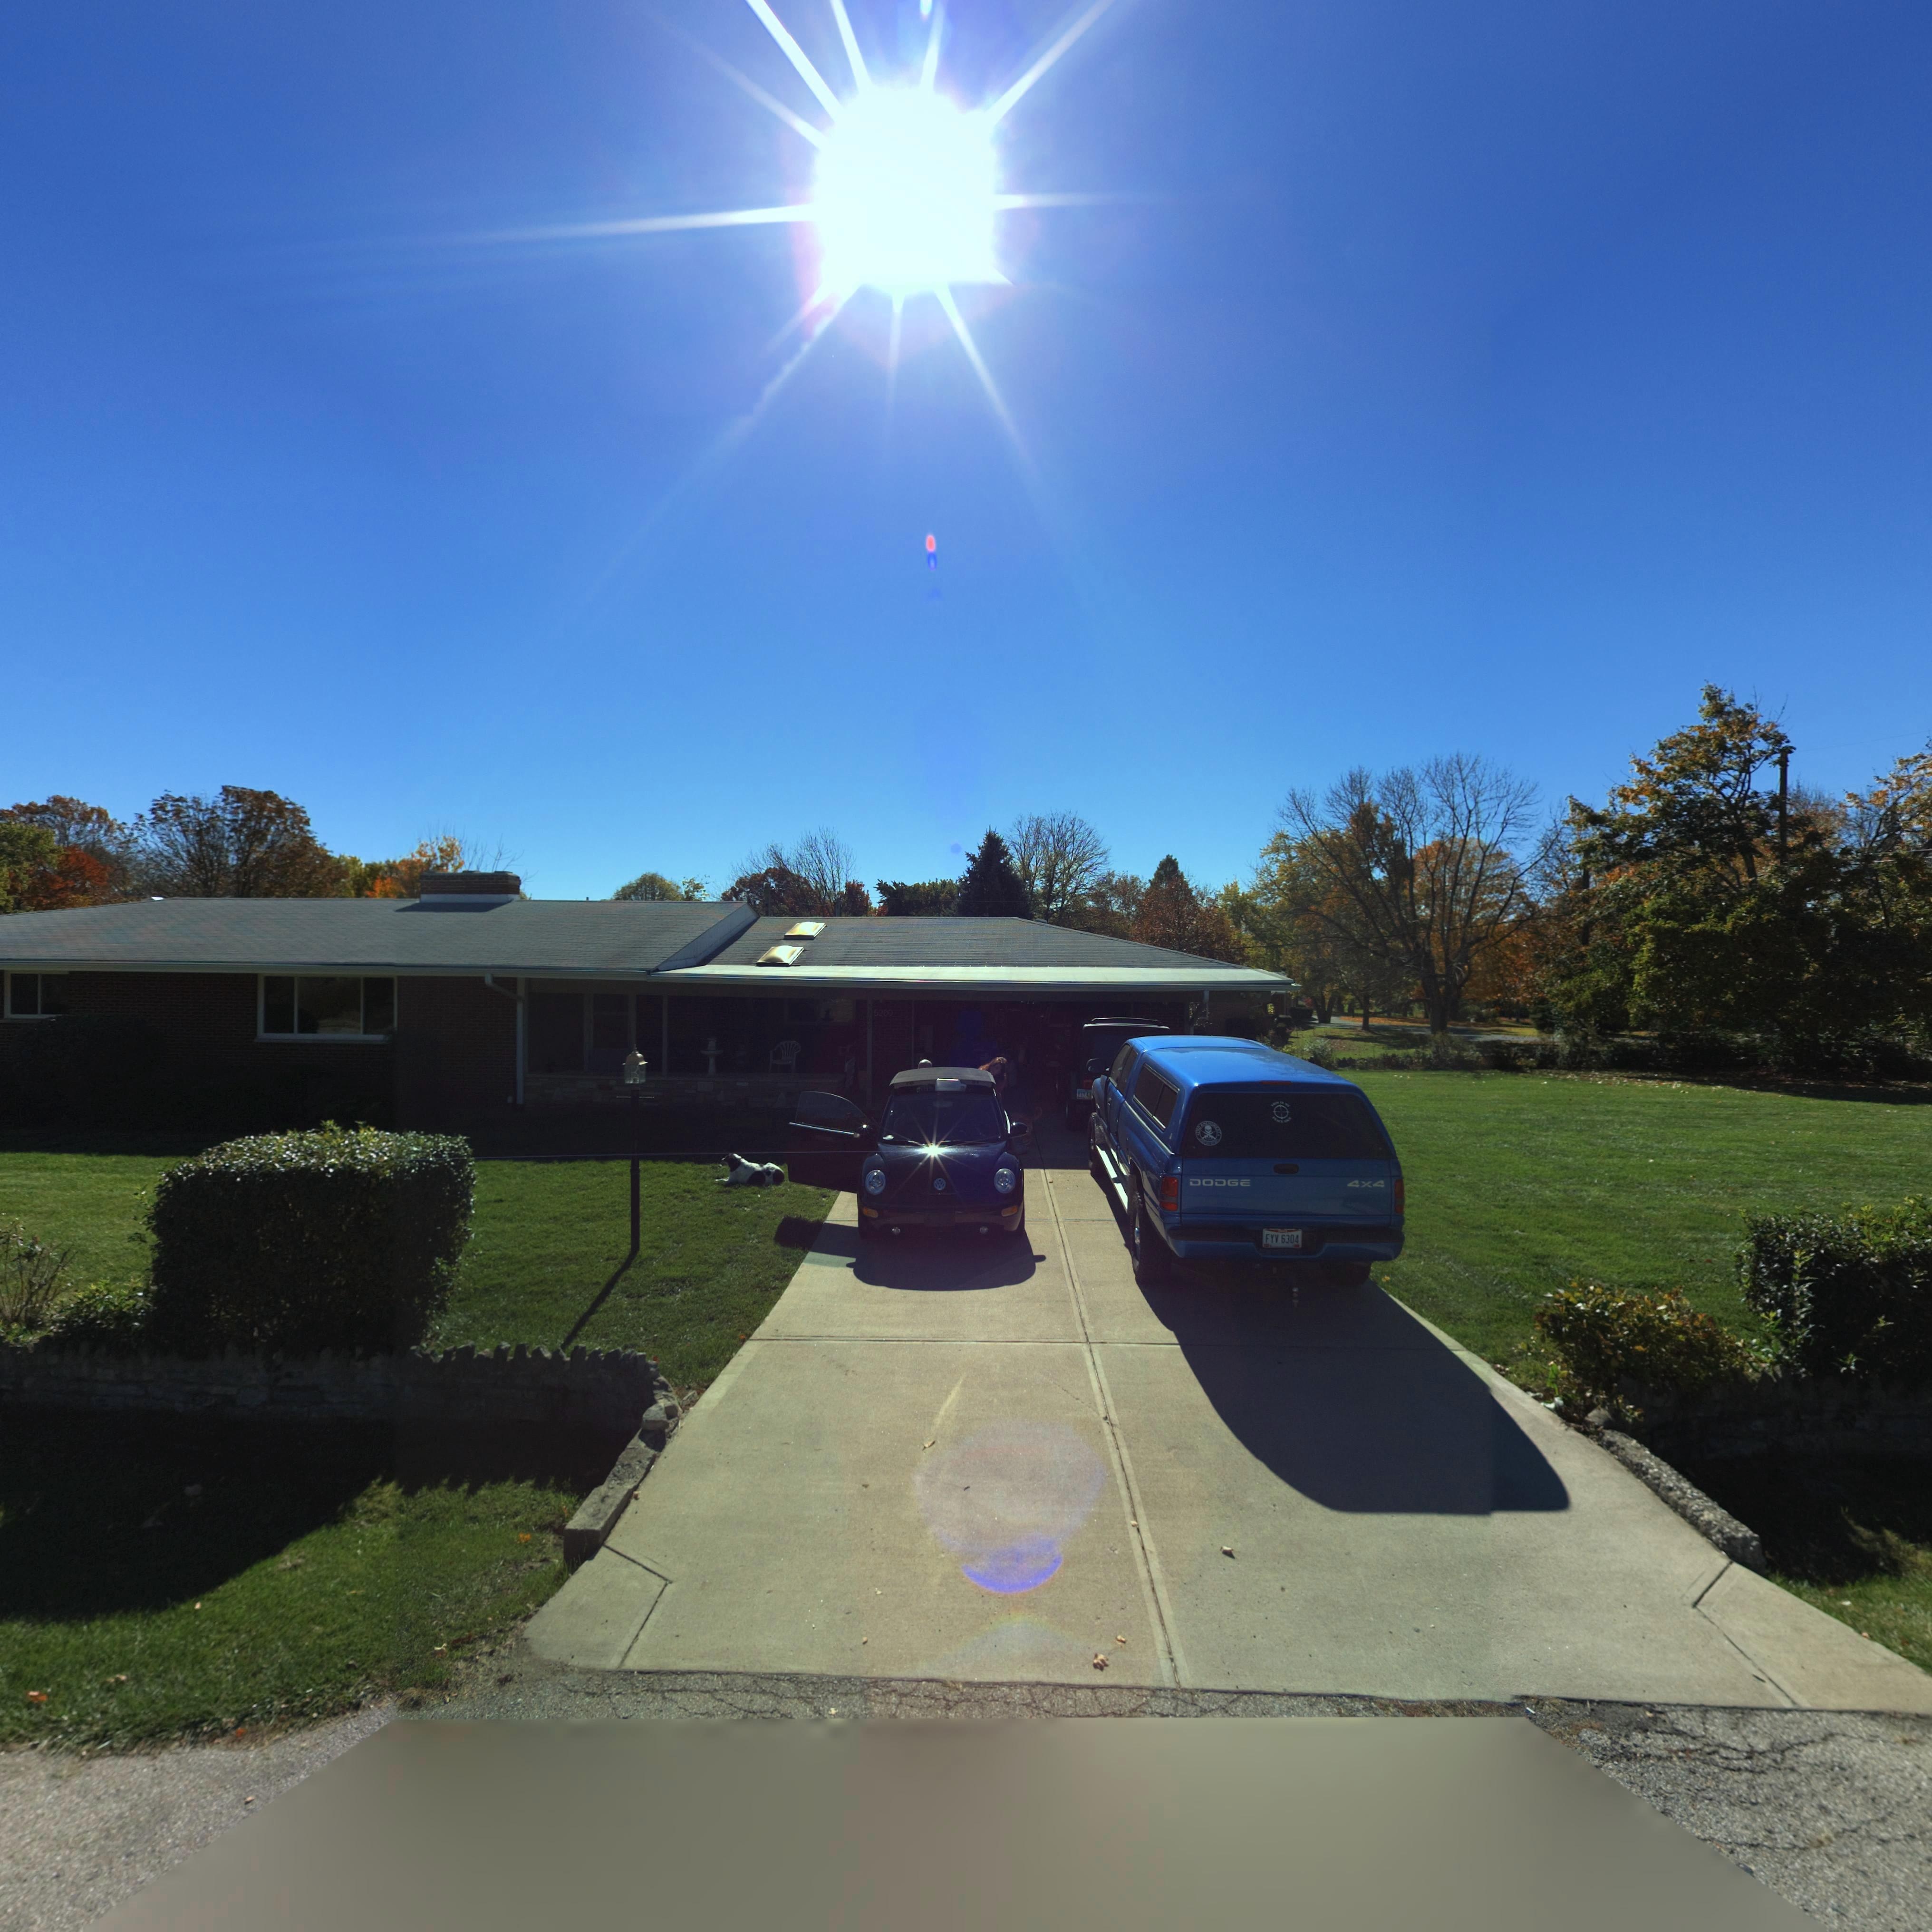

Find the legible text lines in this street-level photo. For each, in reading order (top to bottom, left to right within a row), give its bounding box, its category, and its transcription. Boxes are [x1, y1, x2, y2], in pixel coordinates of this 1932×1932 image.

[867, 1003, 872, 1030] StreetNumber: 5**0
[873, 1008, 894, 1017] StreetNumber: 5200